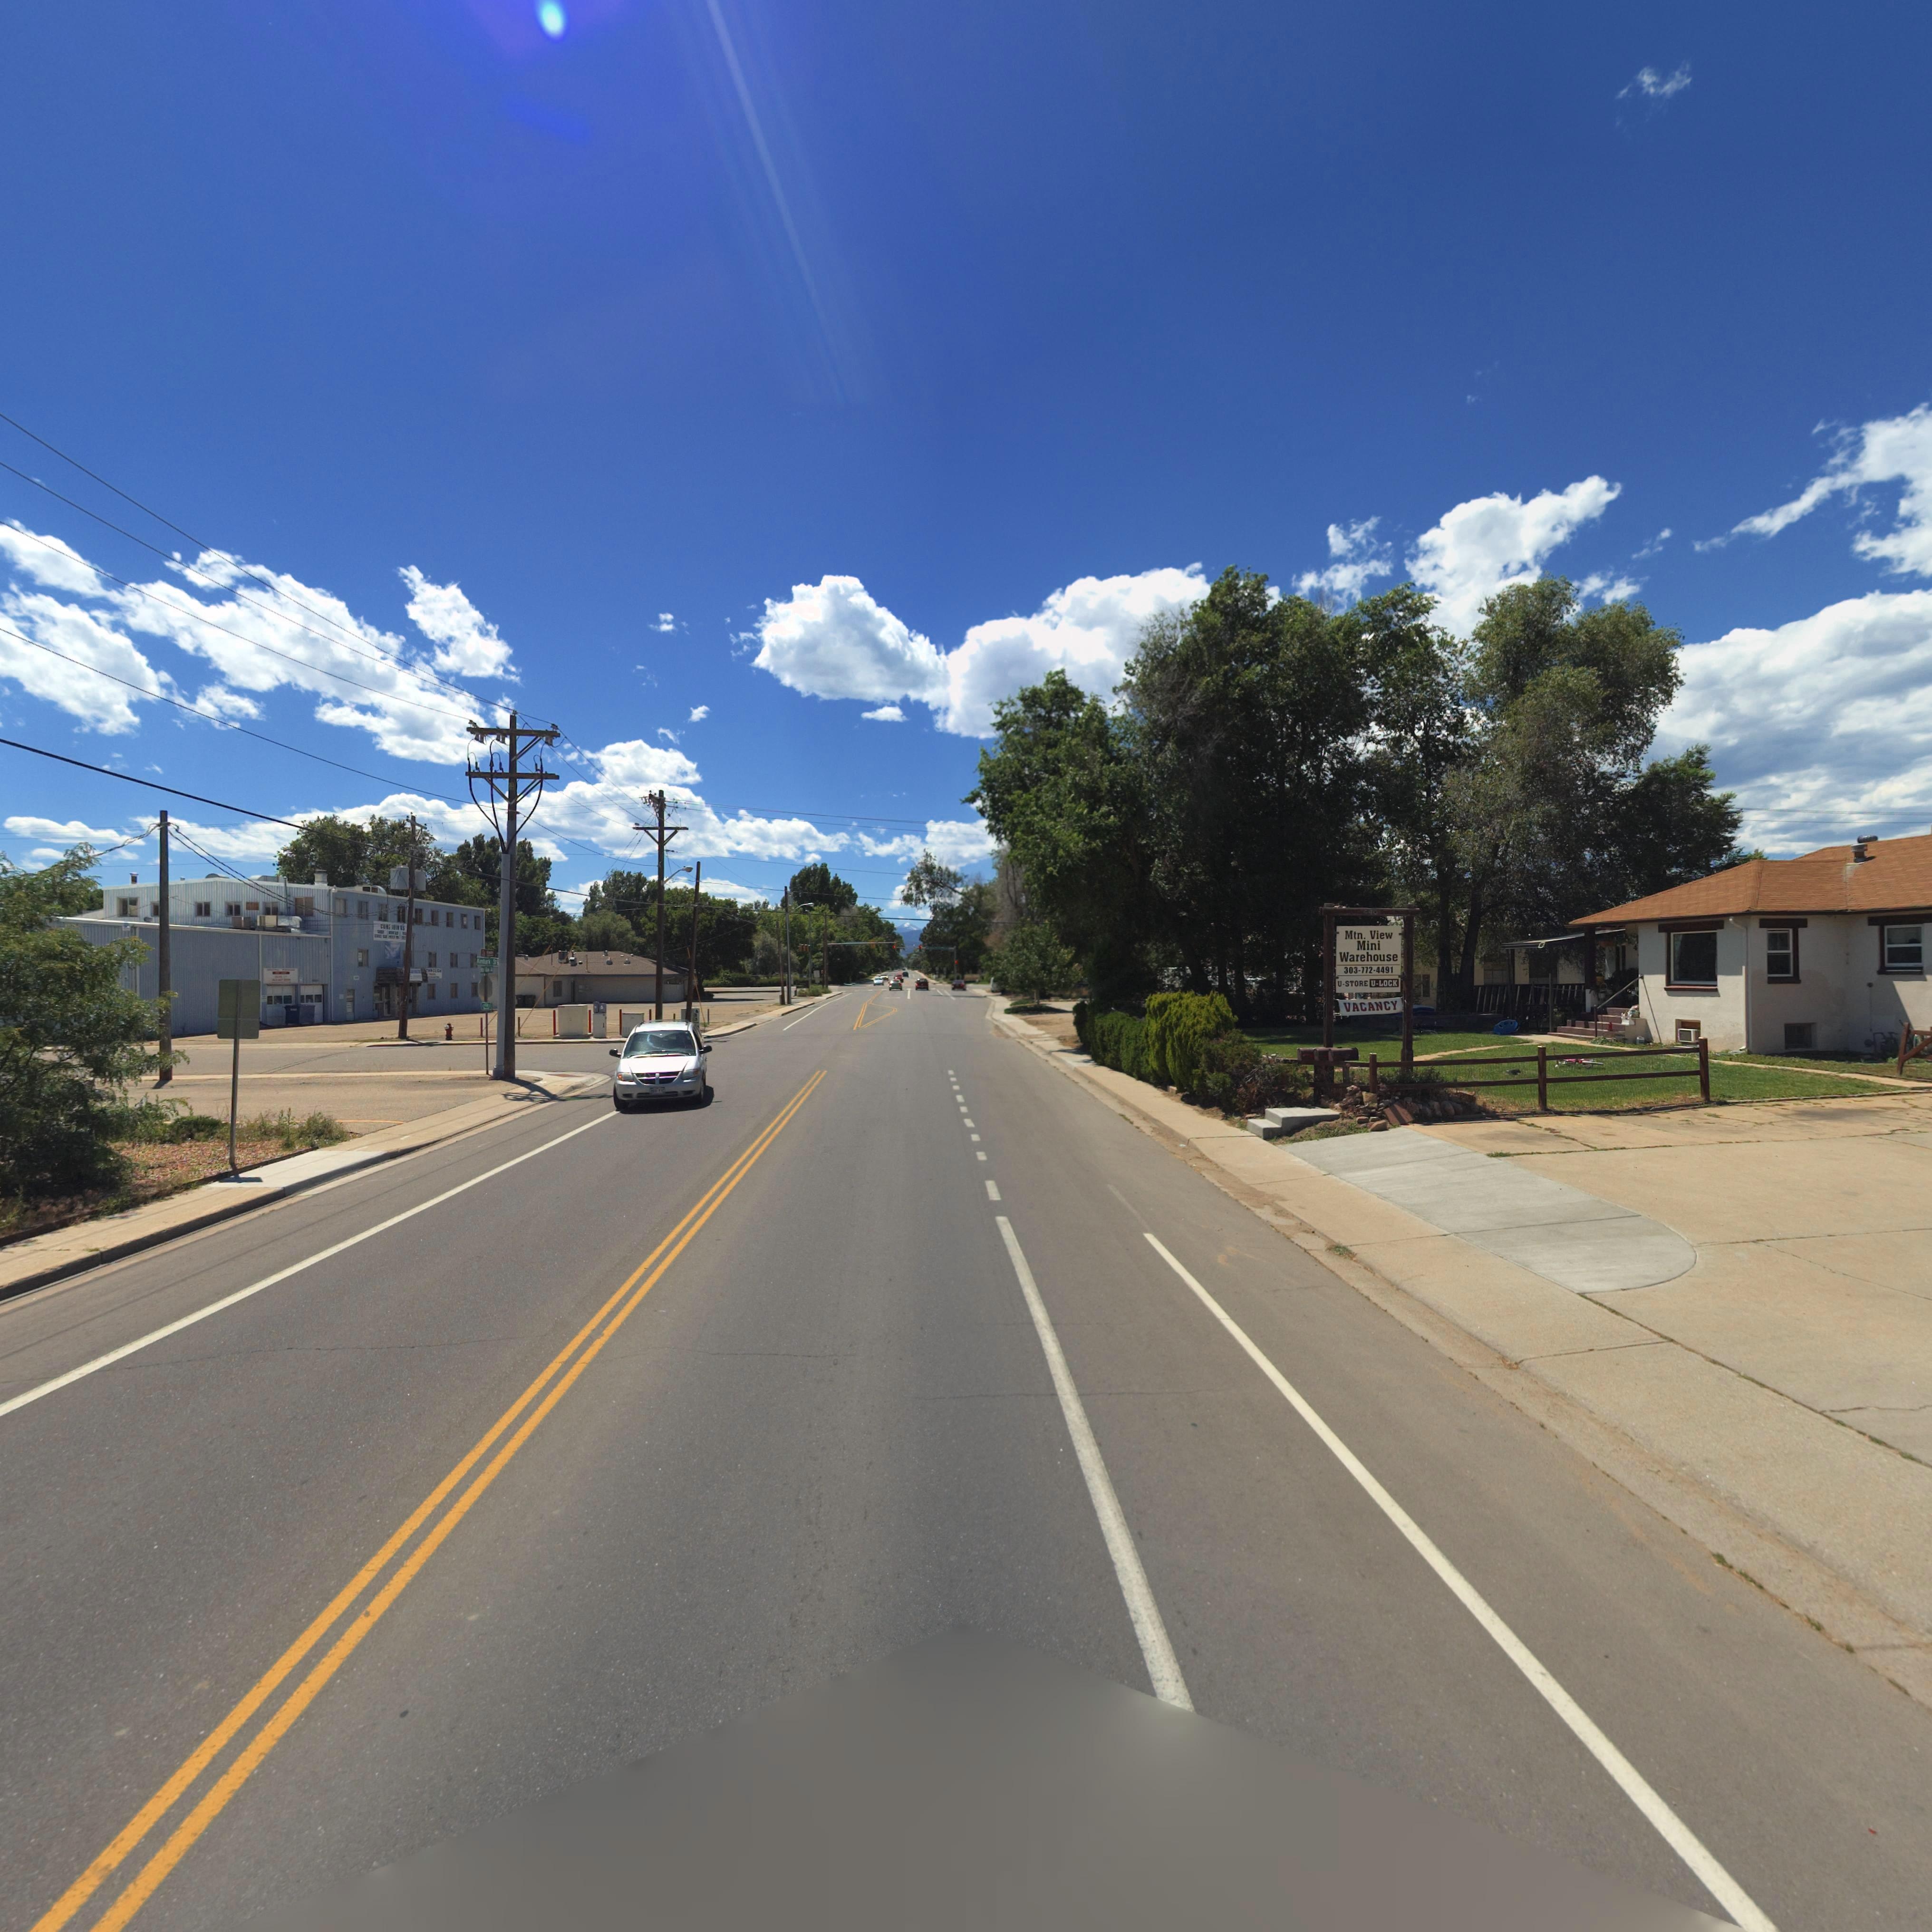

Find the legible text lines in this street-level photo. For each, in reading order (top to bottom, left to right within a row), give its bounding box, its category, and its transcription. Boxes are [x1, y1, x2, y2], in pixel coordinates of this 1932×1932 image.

[1363, 908, 1378, 915] StreetNumber: *40
[1344, 929, 1393, 939] BusinessName: Mtn. View
[1356, 939, 1381, 950] BusinessName: Mini
[1633, 945, 1638, 950] StreetNumber: 4
[476, 957, 497, 965] StreetName: Kimbark St
[1339, 951, 1398, 962] BusinessName: Warehouse